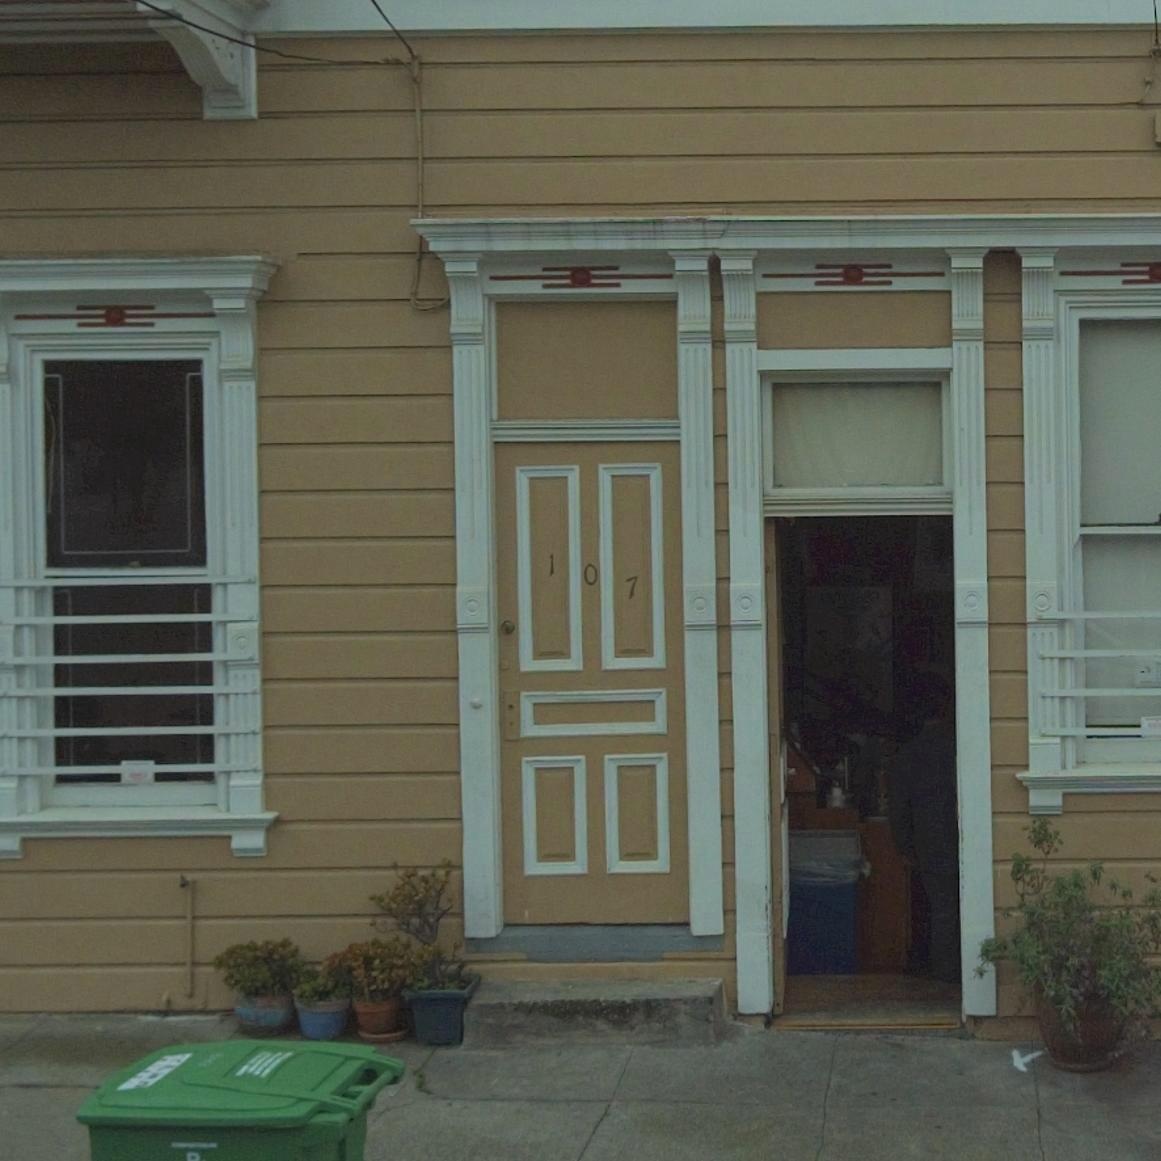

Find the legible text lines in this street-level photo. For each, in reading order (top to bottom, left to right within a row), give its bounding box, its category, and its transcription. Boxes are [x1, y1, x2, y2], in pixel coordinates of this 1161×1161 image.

[545, 549, 641, 604] StreetNumber: 107